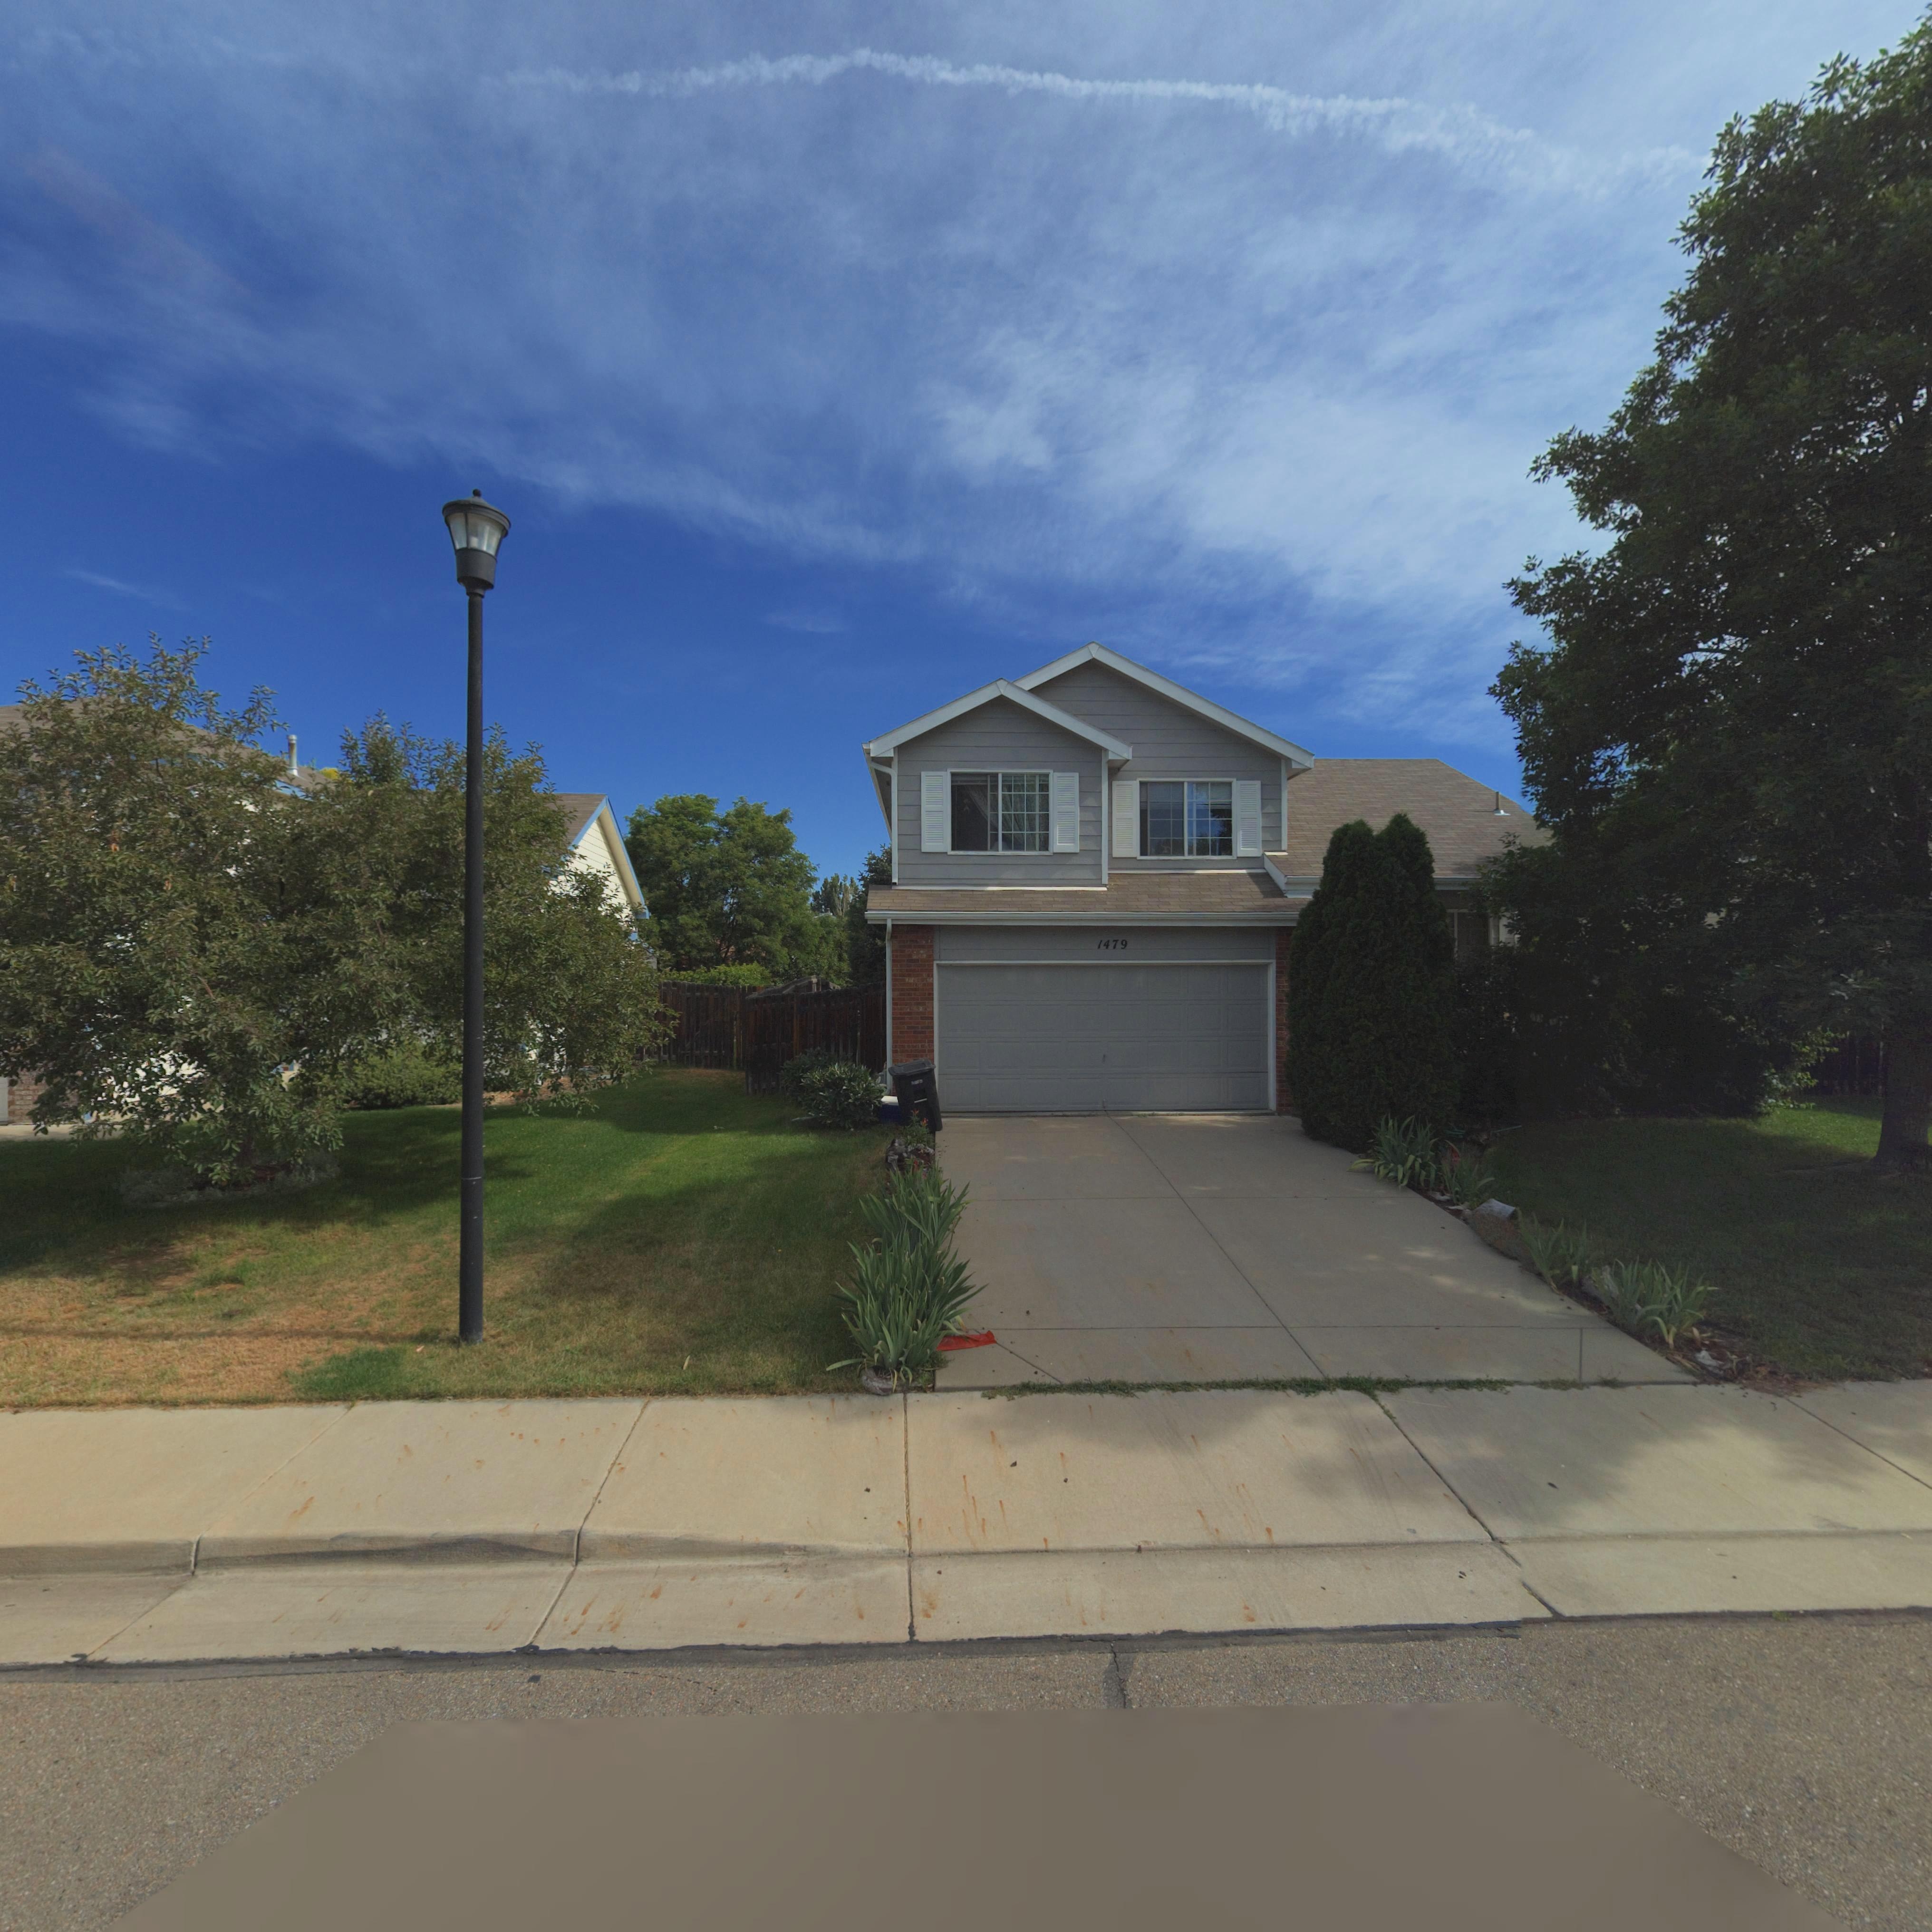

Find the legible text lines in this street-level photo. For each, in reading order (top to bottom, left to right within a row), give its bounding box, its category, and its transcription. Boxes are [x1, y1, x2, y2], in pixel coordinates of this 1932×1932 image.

[1096, 938, 1128, 949] StreetNumber: 1479